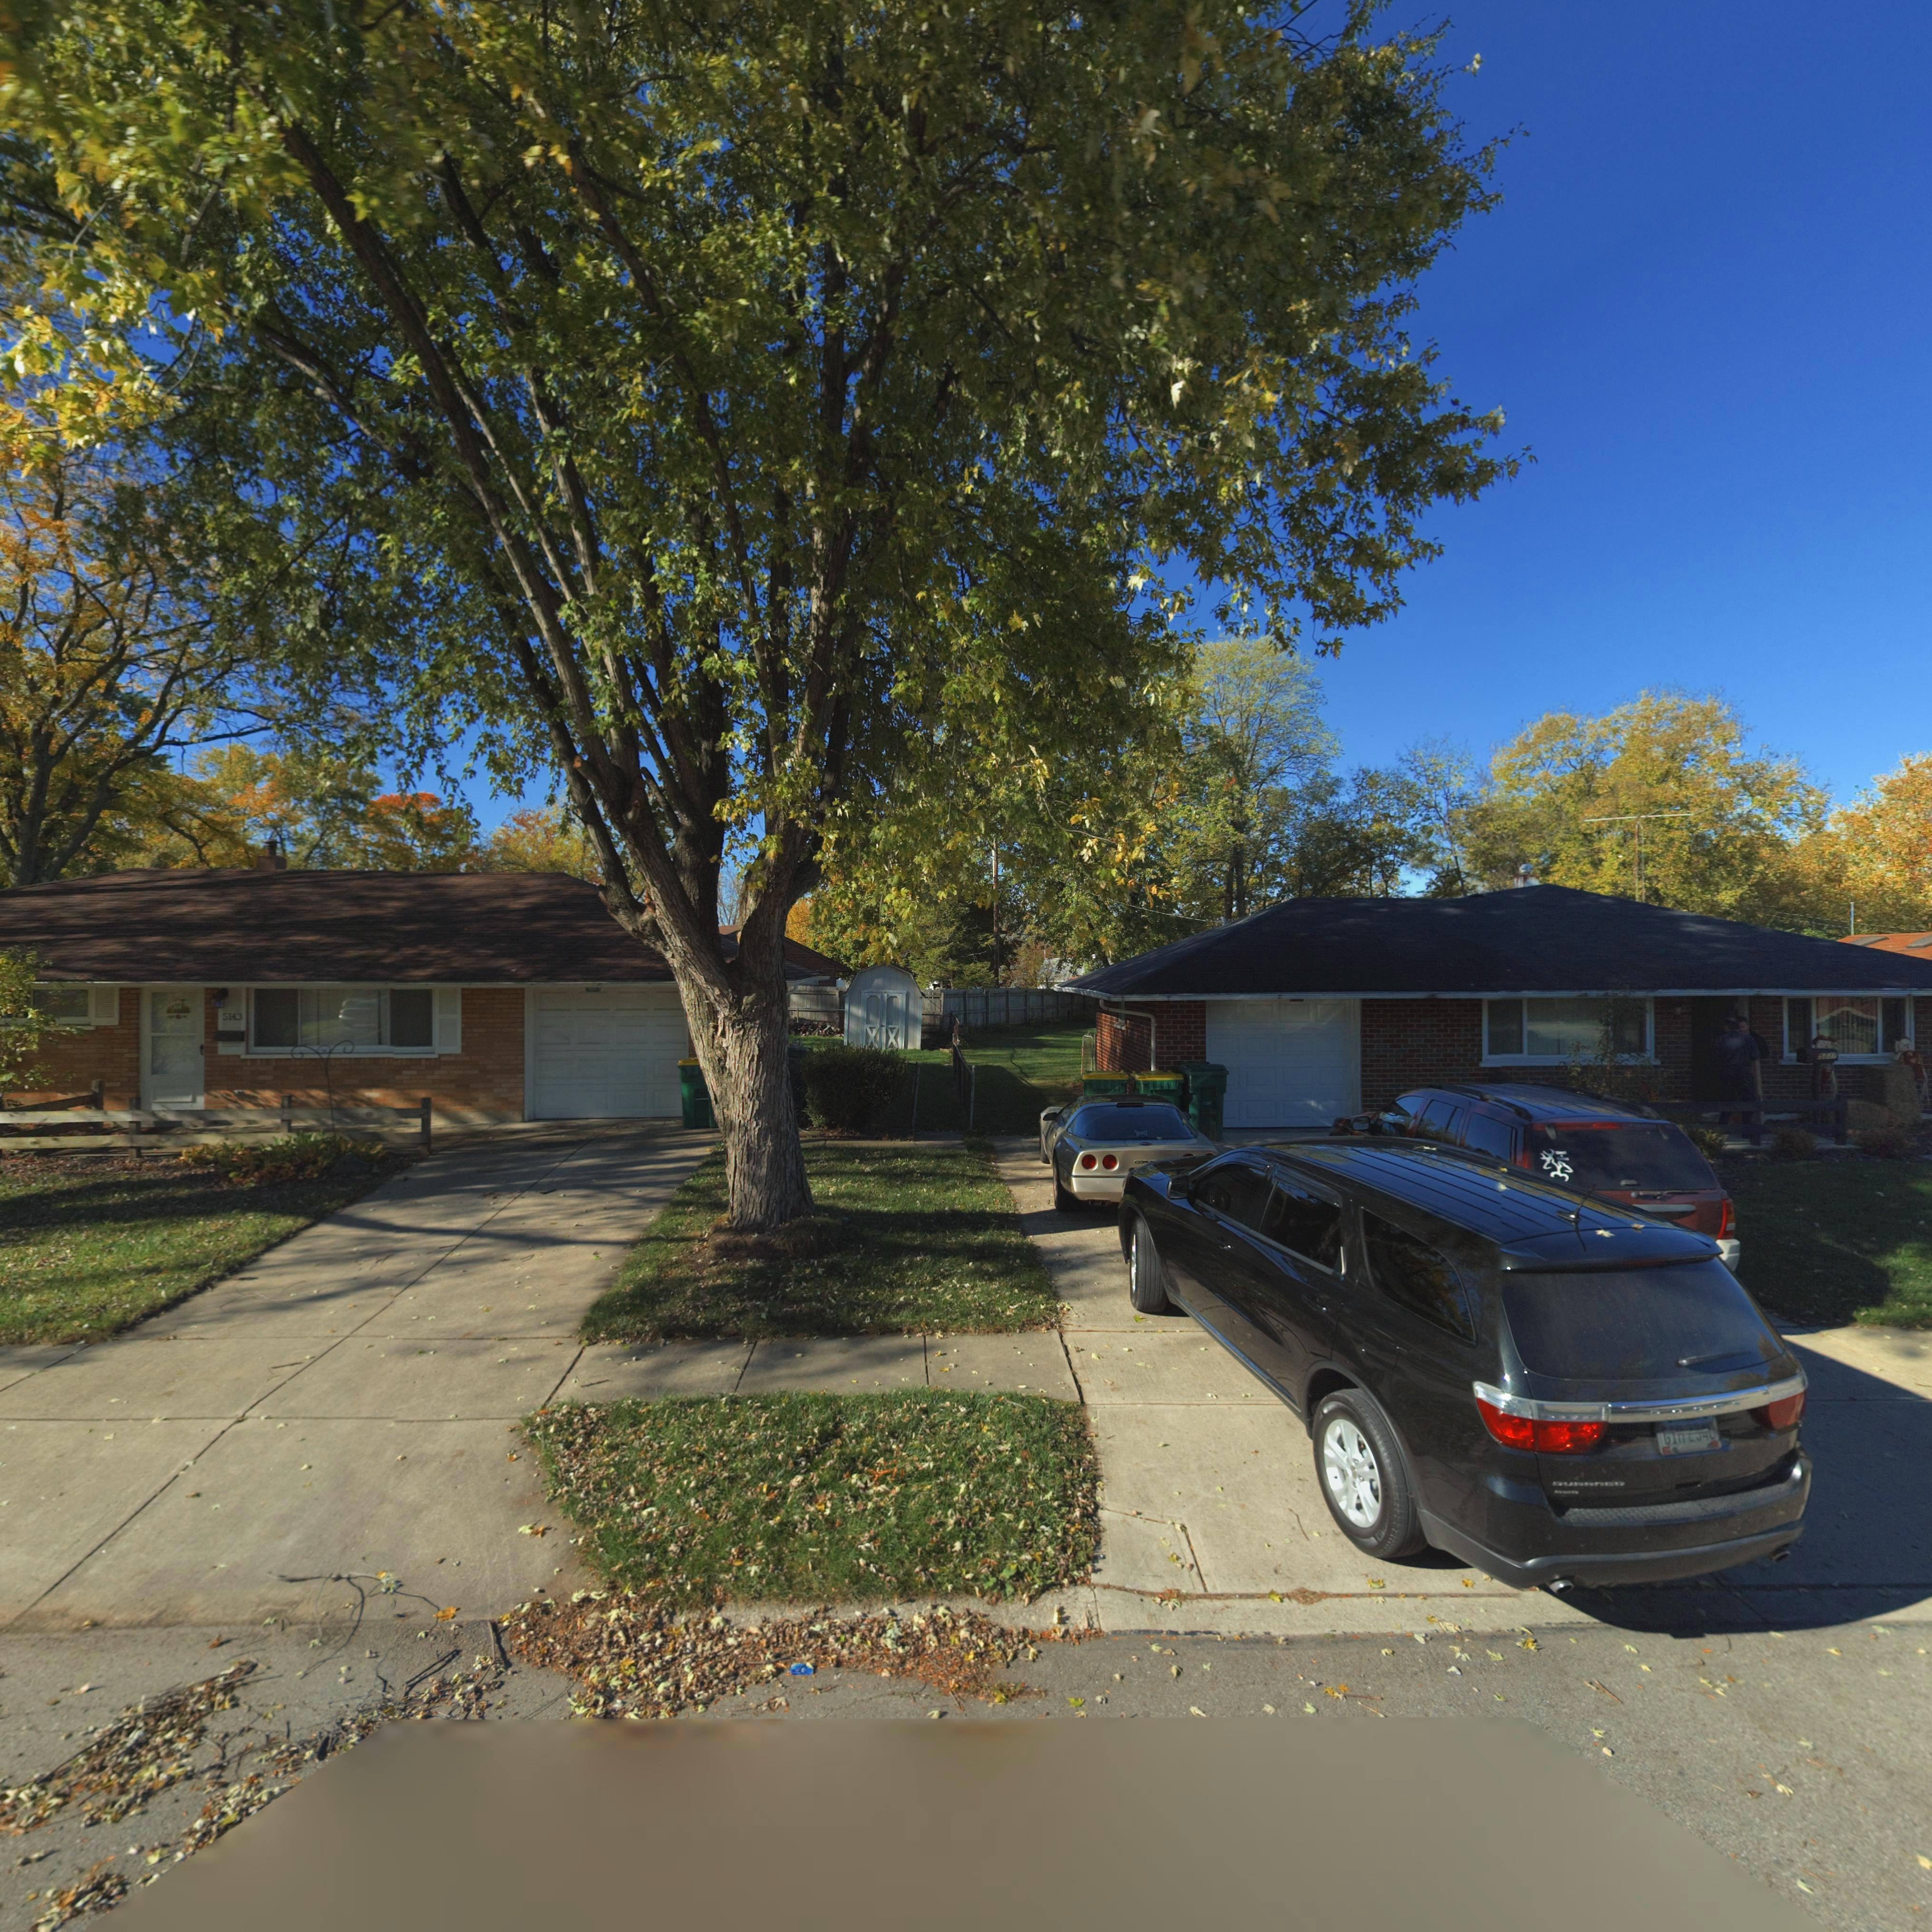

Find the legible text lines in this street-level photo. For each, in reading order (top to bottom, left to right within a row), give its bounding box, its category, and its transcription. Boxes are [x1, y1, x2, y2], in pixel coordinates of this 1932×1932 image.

[222, 1012, 243, 1021] StreetNumber: 5143